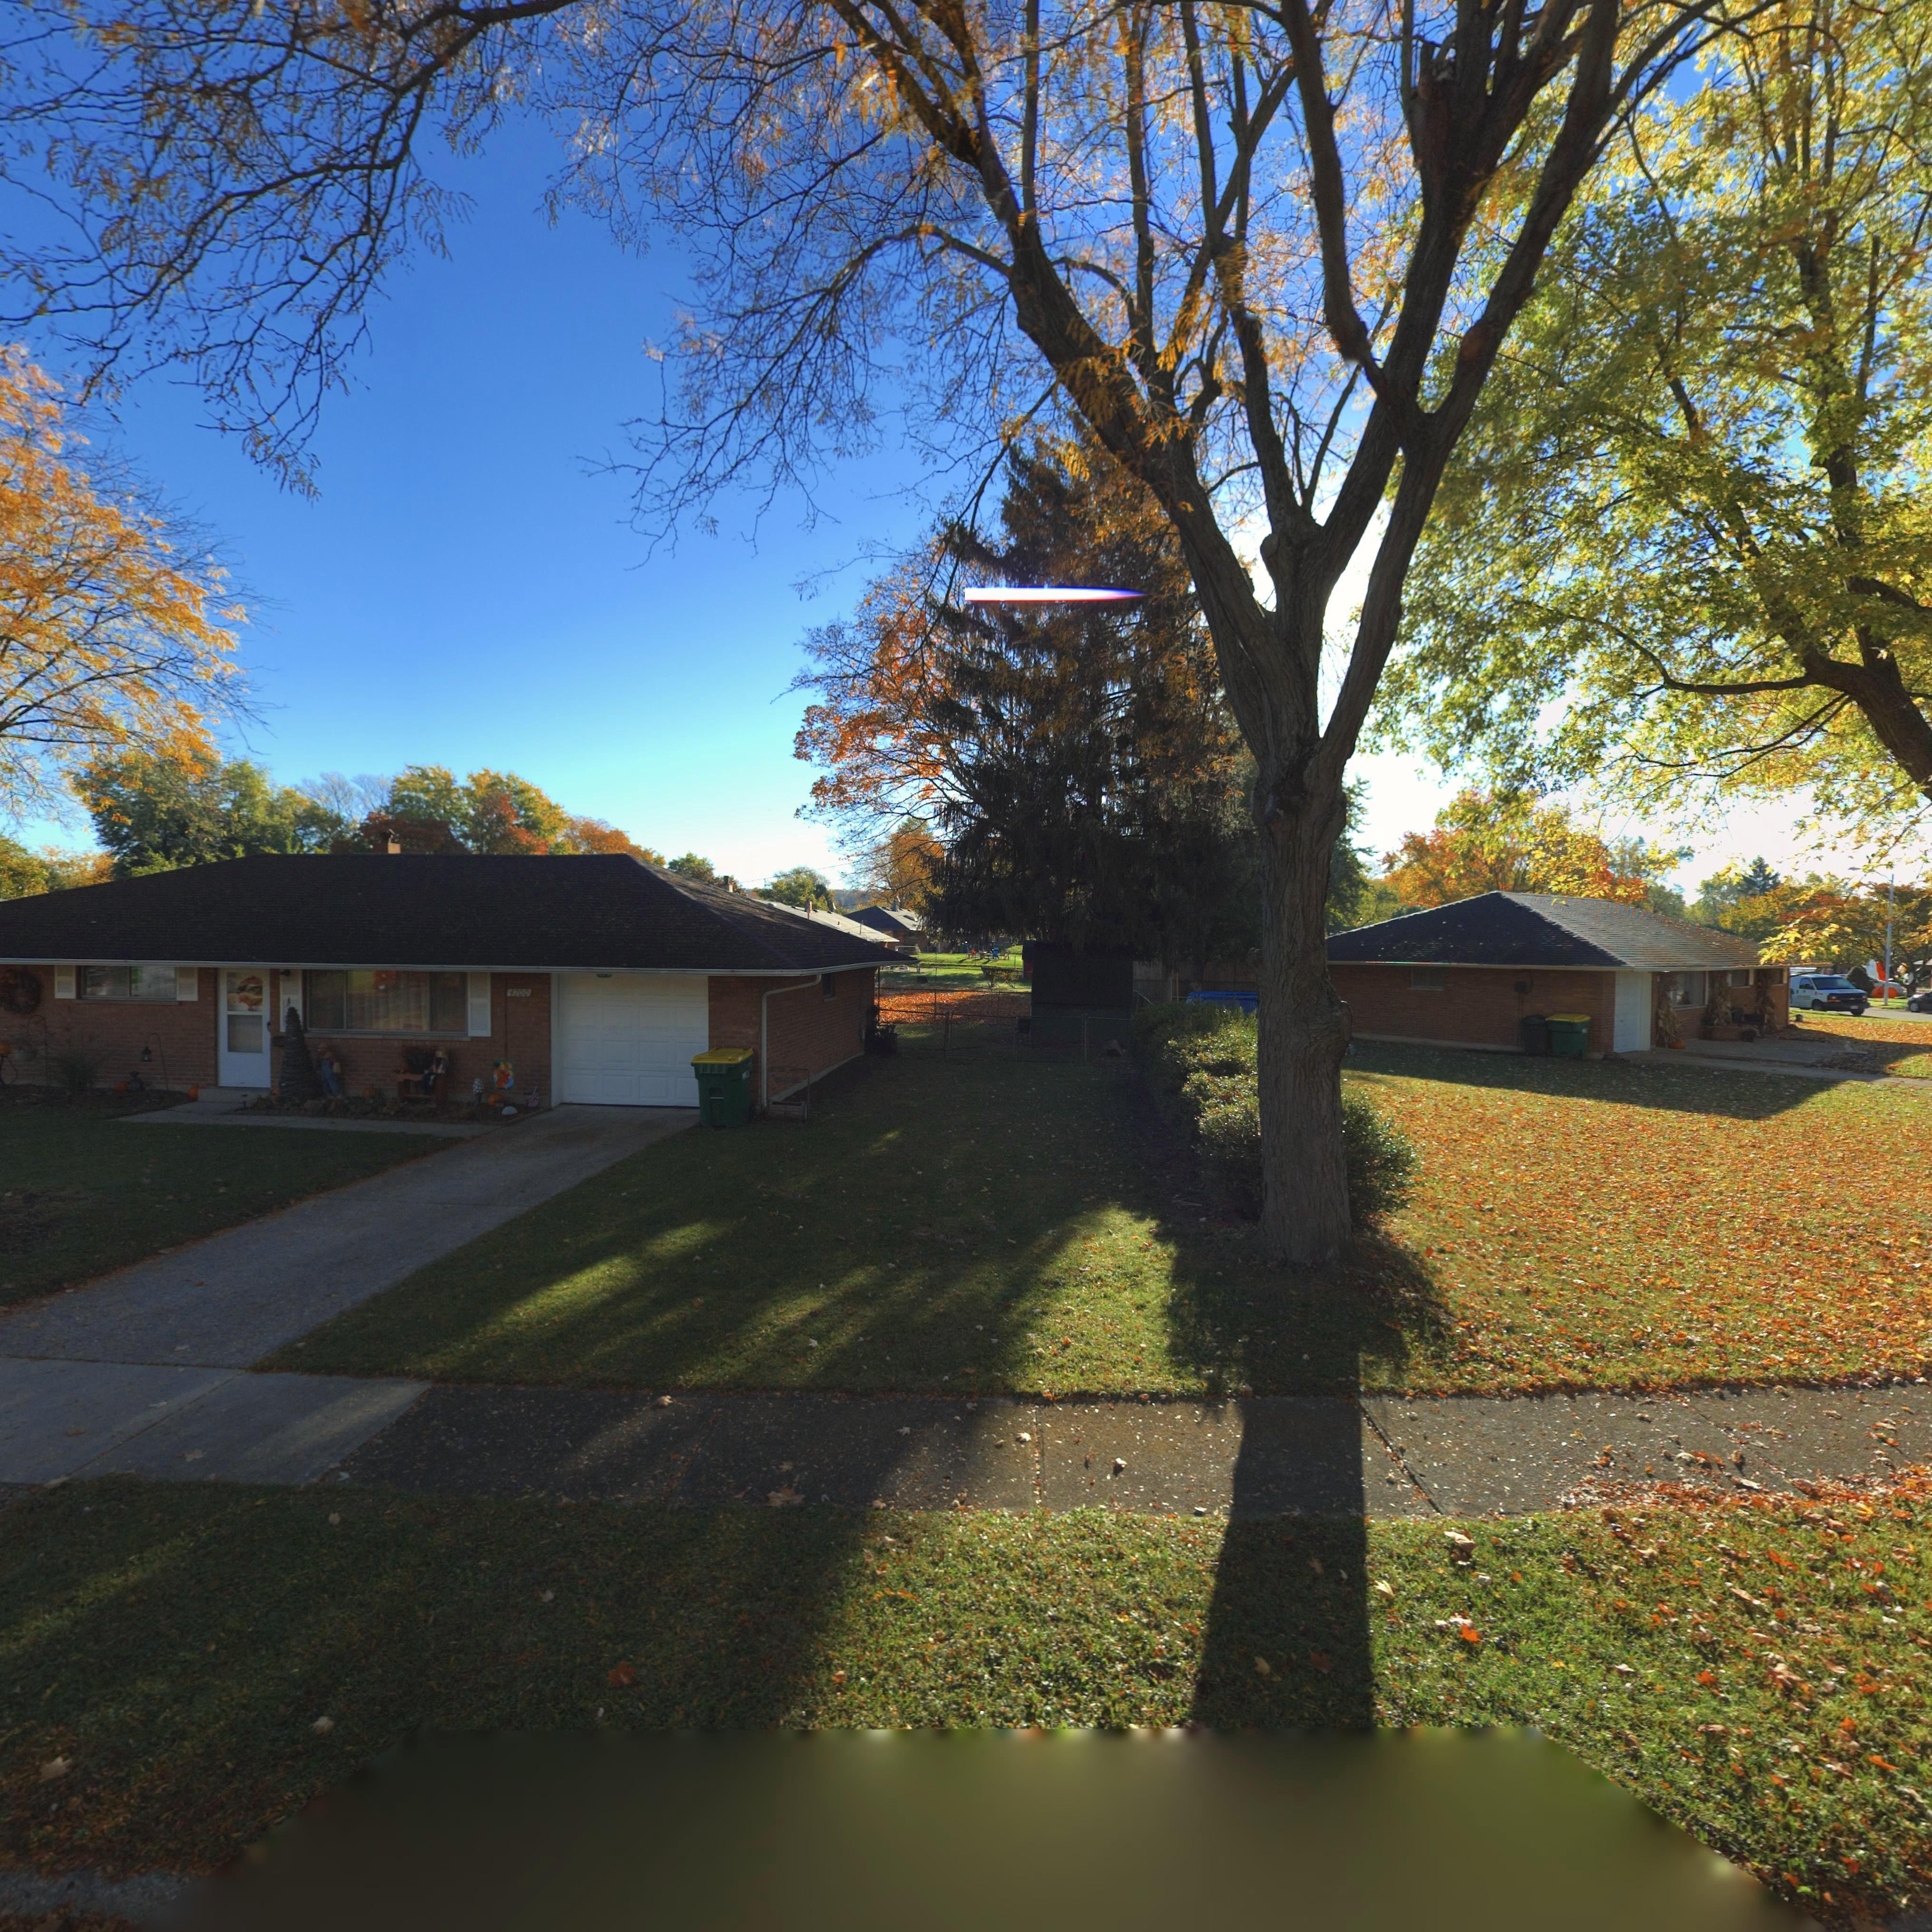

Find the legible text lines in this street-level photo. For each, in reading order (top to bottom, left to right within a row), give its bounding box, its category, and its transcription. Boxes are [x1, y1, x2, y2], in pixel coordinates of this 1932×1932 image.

[509, 988, 530, 997] StreetNumber: 4700